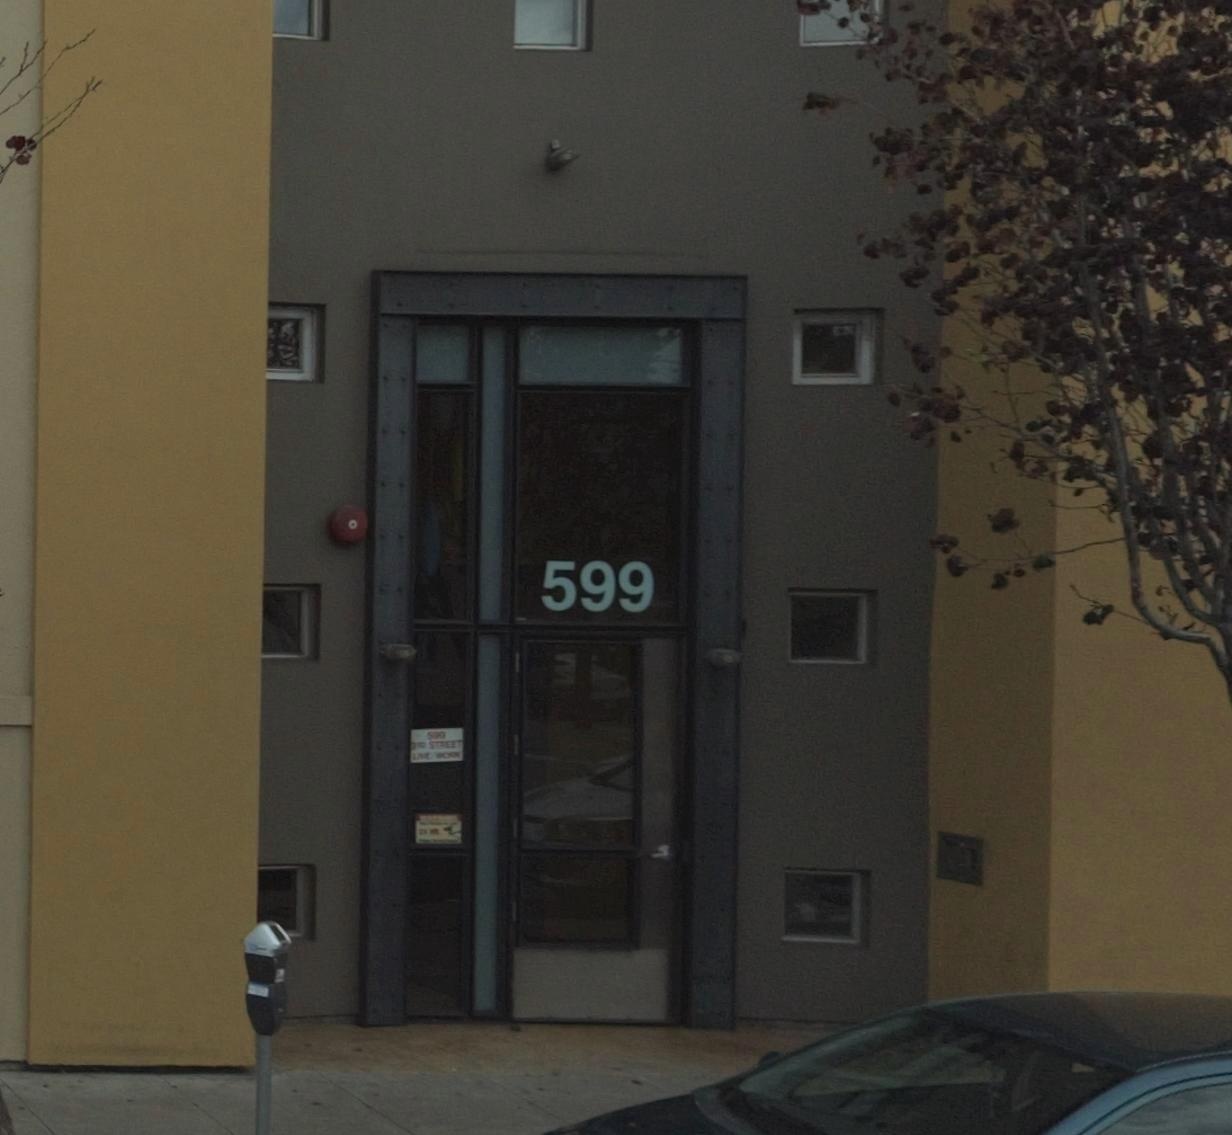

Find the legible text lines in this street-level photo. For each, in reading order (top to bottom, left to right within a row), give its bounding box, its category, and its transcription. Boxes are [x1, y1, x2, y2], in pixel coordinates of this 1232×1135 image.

[538, 558, 658, 615] StreetNumber: 599